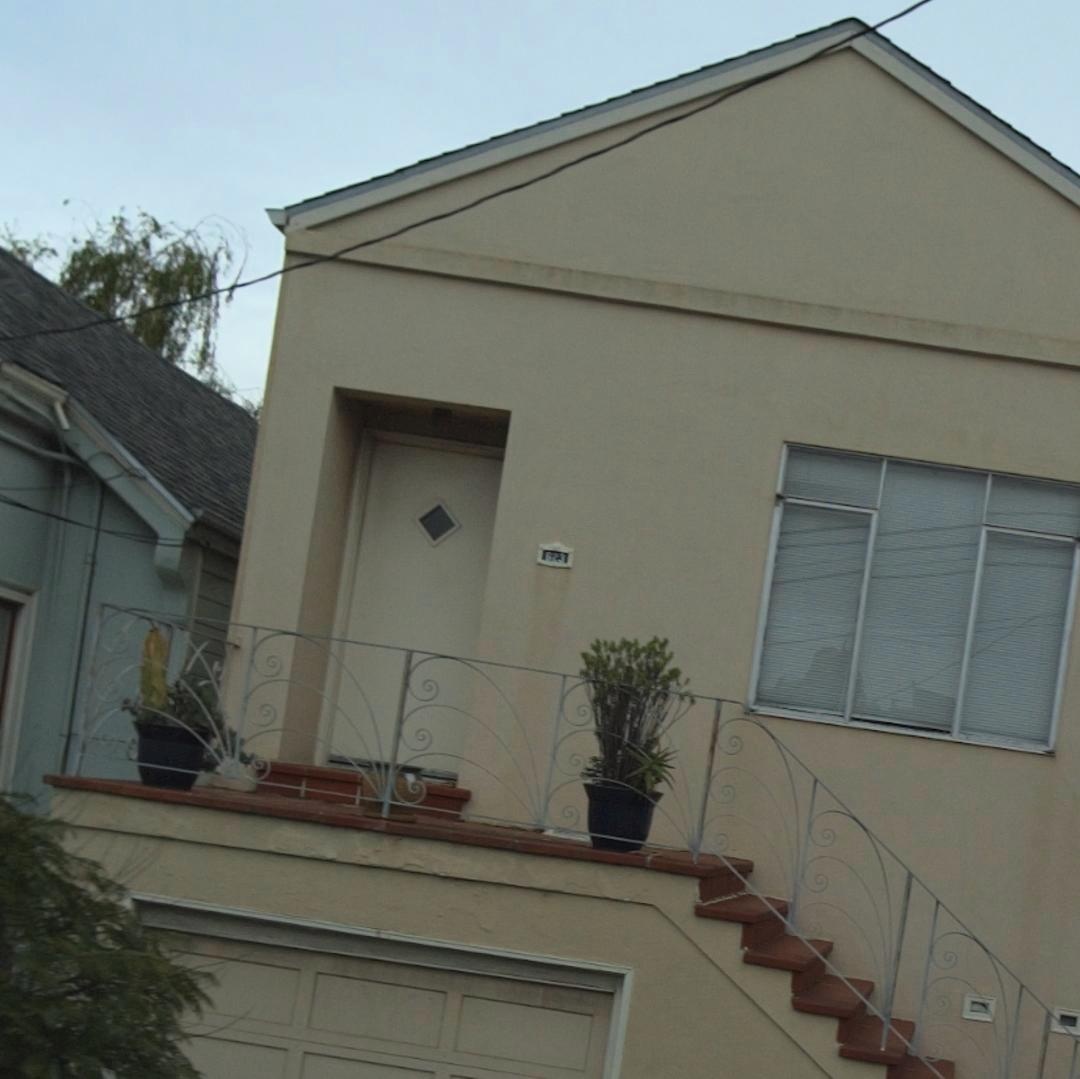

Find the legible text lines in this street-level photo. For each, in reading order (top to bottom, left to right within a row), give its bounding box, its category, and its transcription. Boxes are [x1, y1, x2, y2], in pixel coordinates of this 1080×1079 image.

[543, 551, 566, 563] StreetNumber: 623